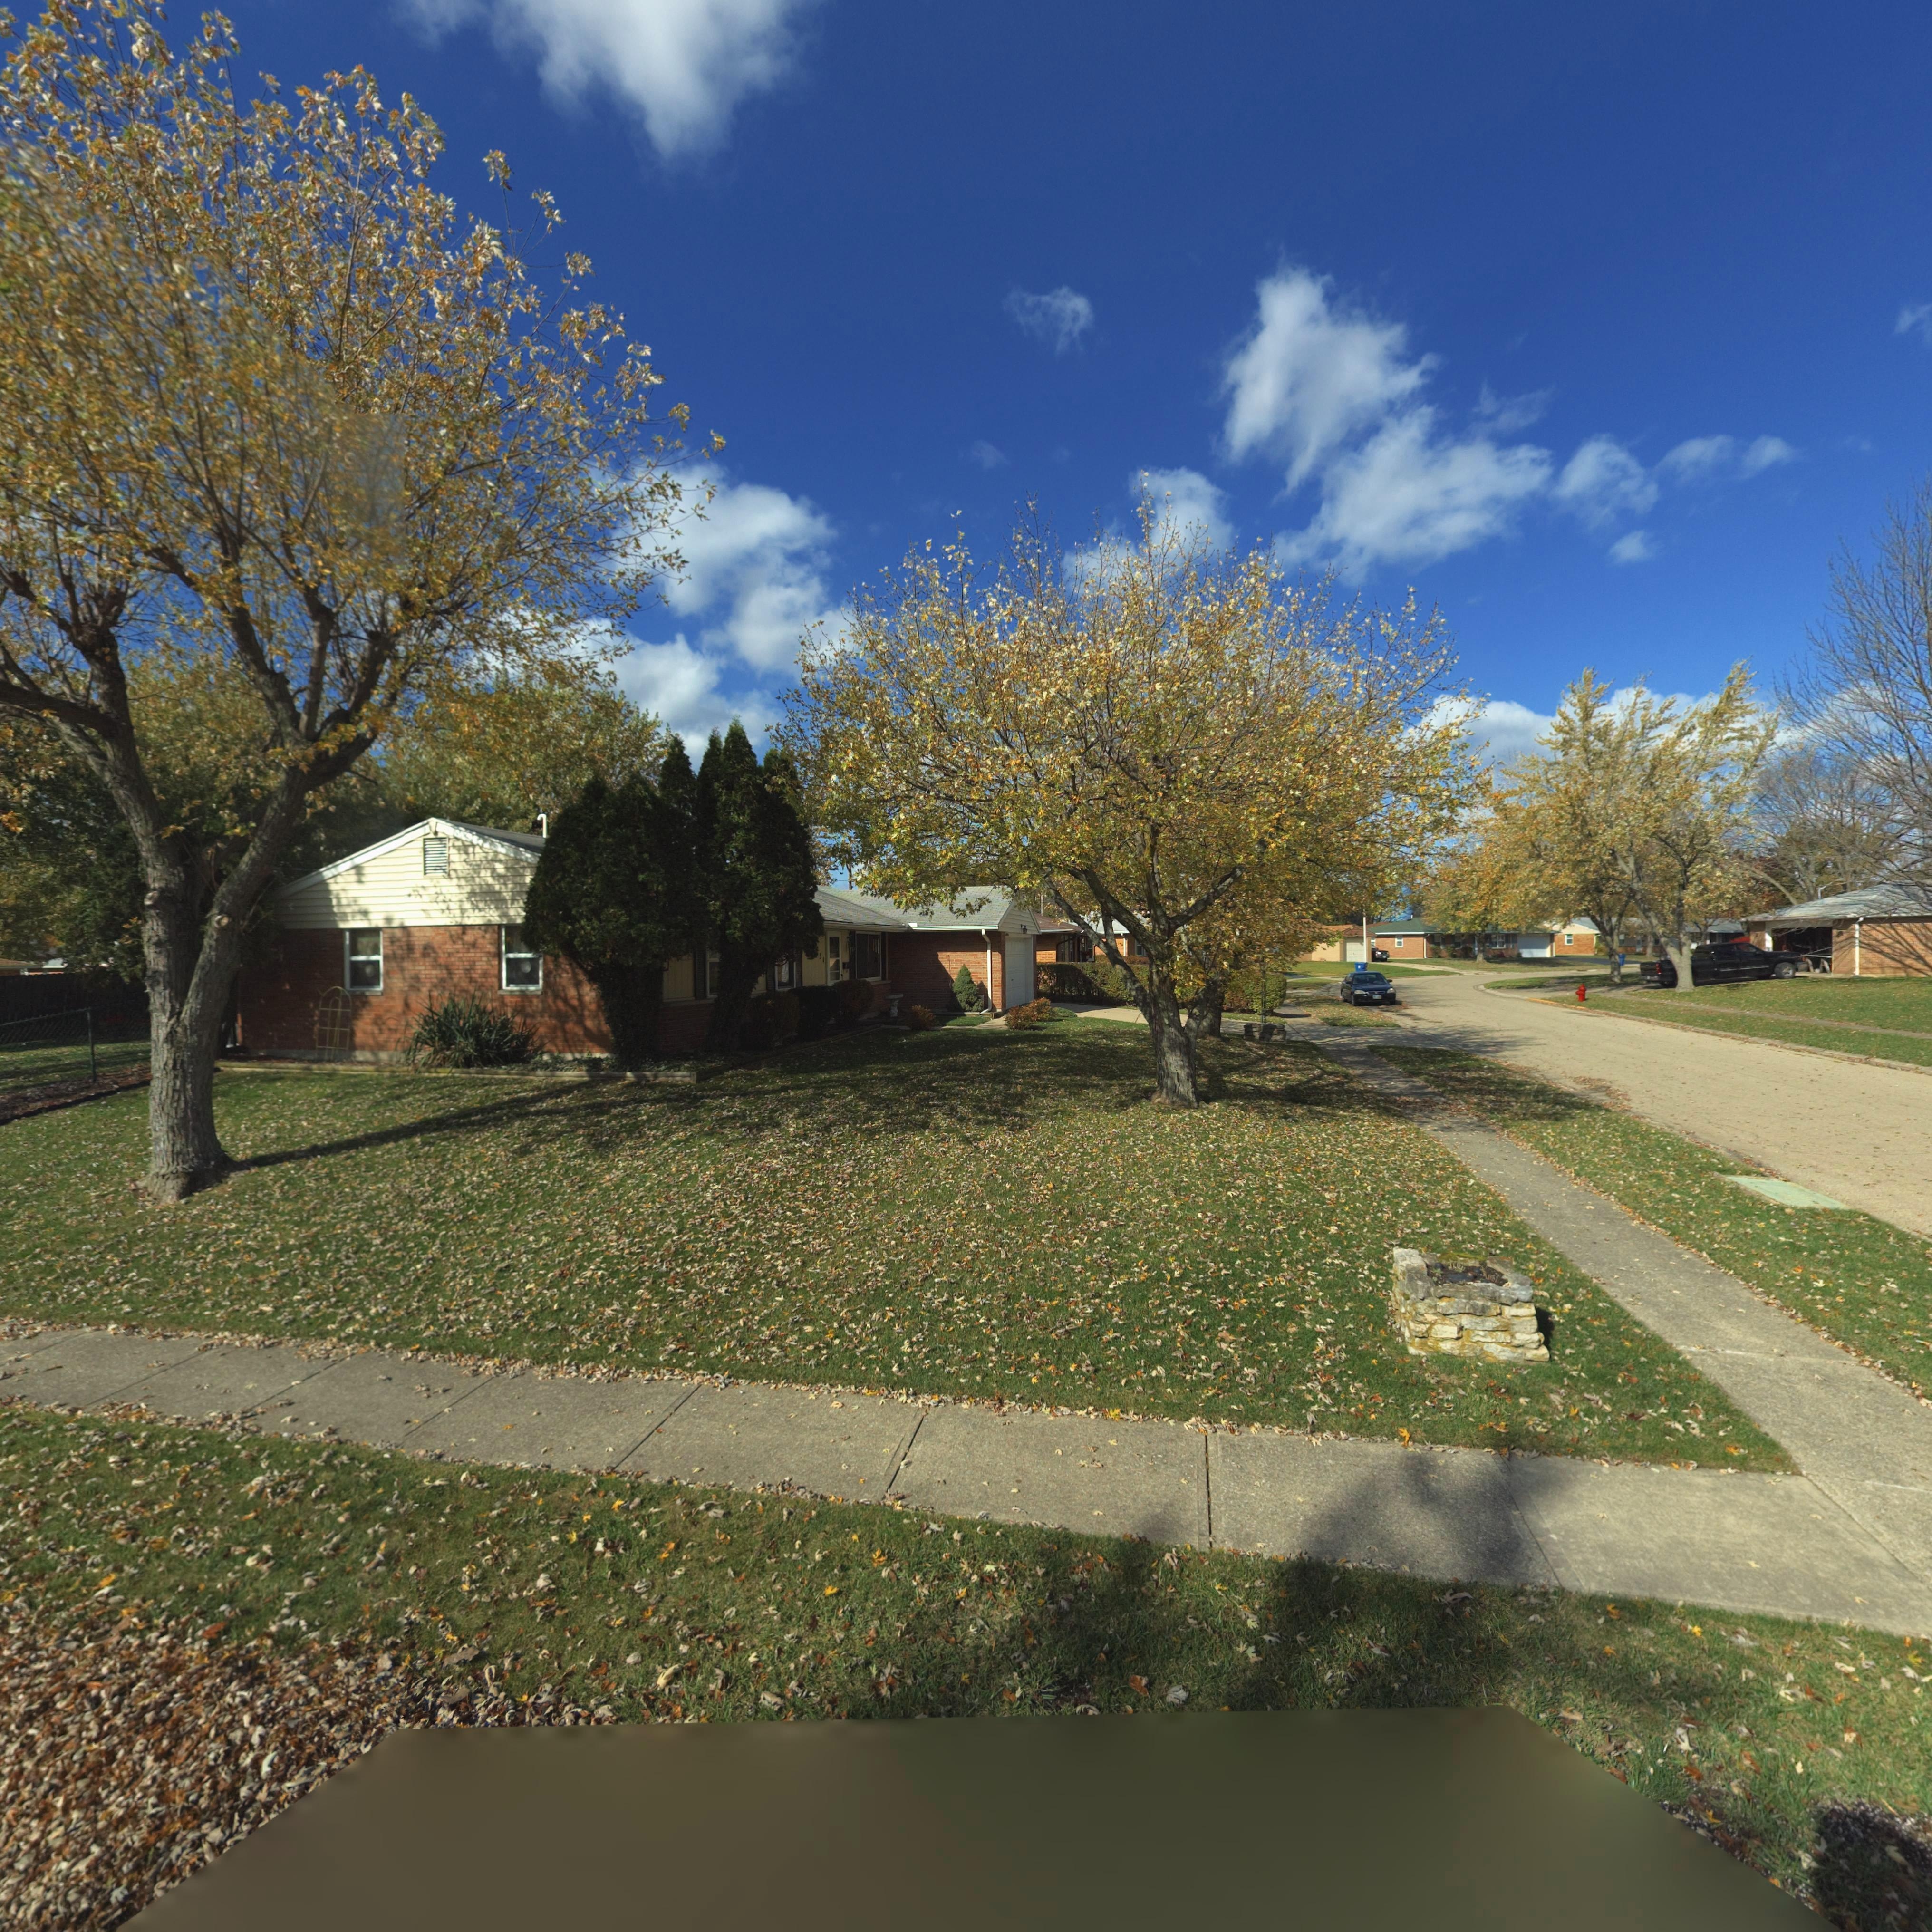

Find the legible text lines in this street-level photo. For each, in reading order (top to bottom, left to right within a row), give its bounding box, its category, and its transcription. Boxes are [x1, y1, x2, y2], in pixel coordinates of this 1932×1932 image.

[818, 952, 825, 964] StreetNumber: 31